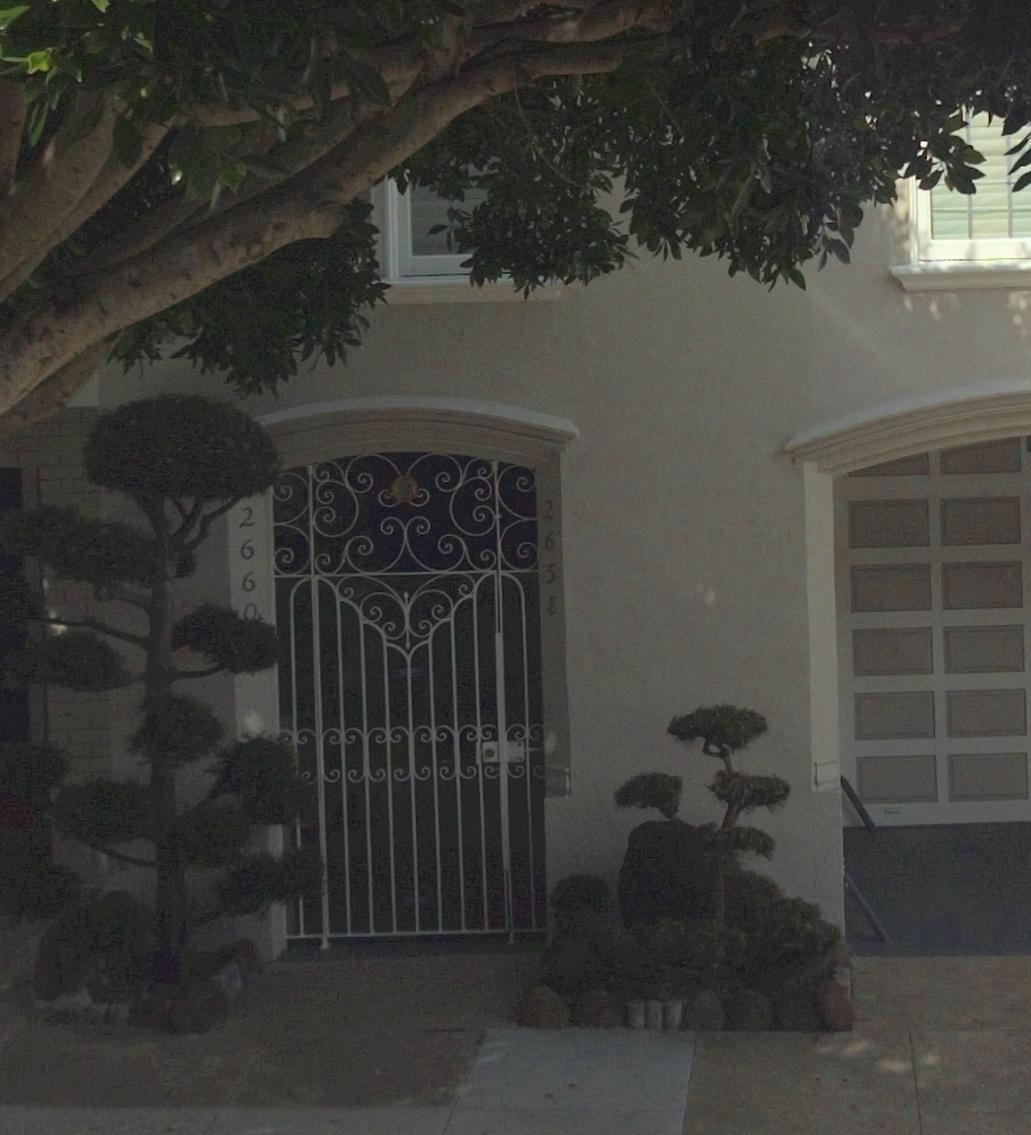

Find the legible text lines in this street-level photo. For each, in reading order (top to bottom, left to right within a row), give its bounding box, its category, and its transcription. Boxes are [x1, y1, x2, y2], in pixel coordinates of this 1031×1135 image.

[234, 504, 261, 624] StreetNumber: 2660
[539, 495, 562, 618] StreetNumber: 2658